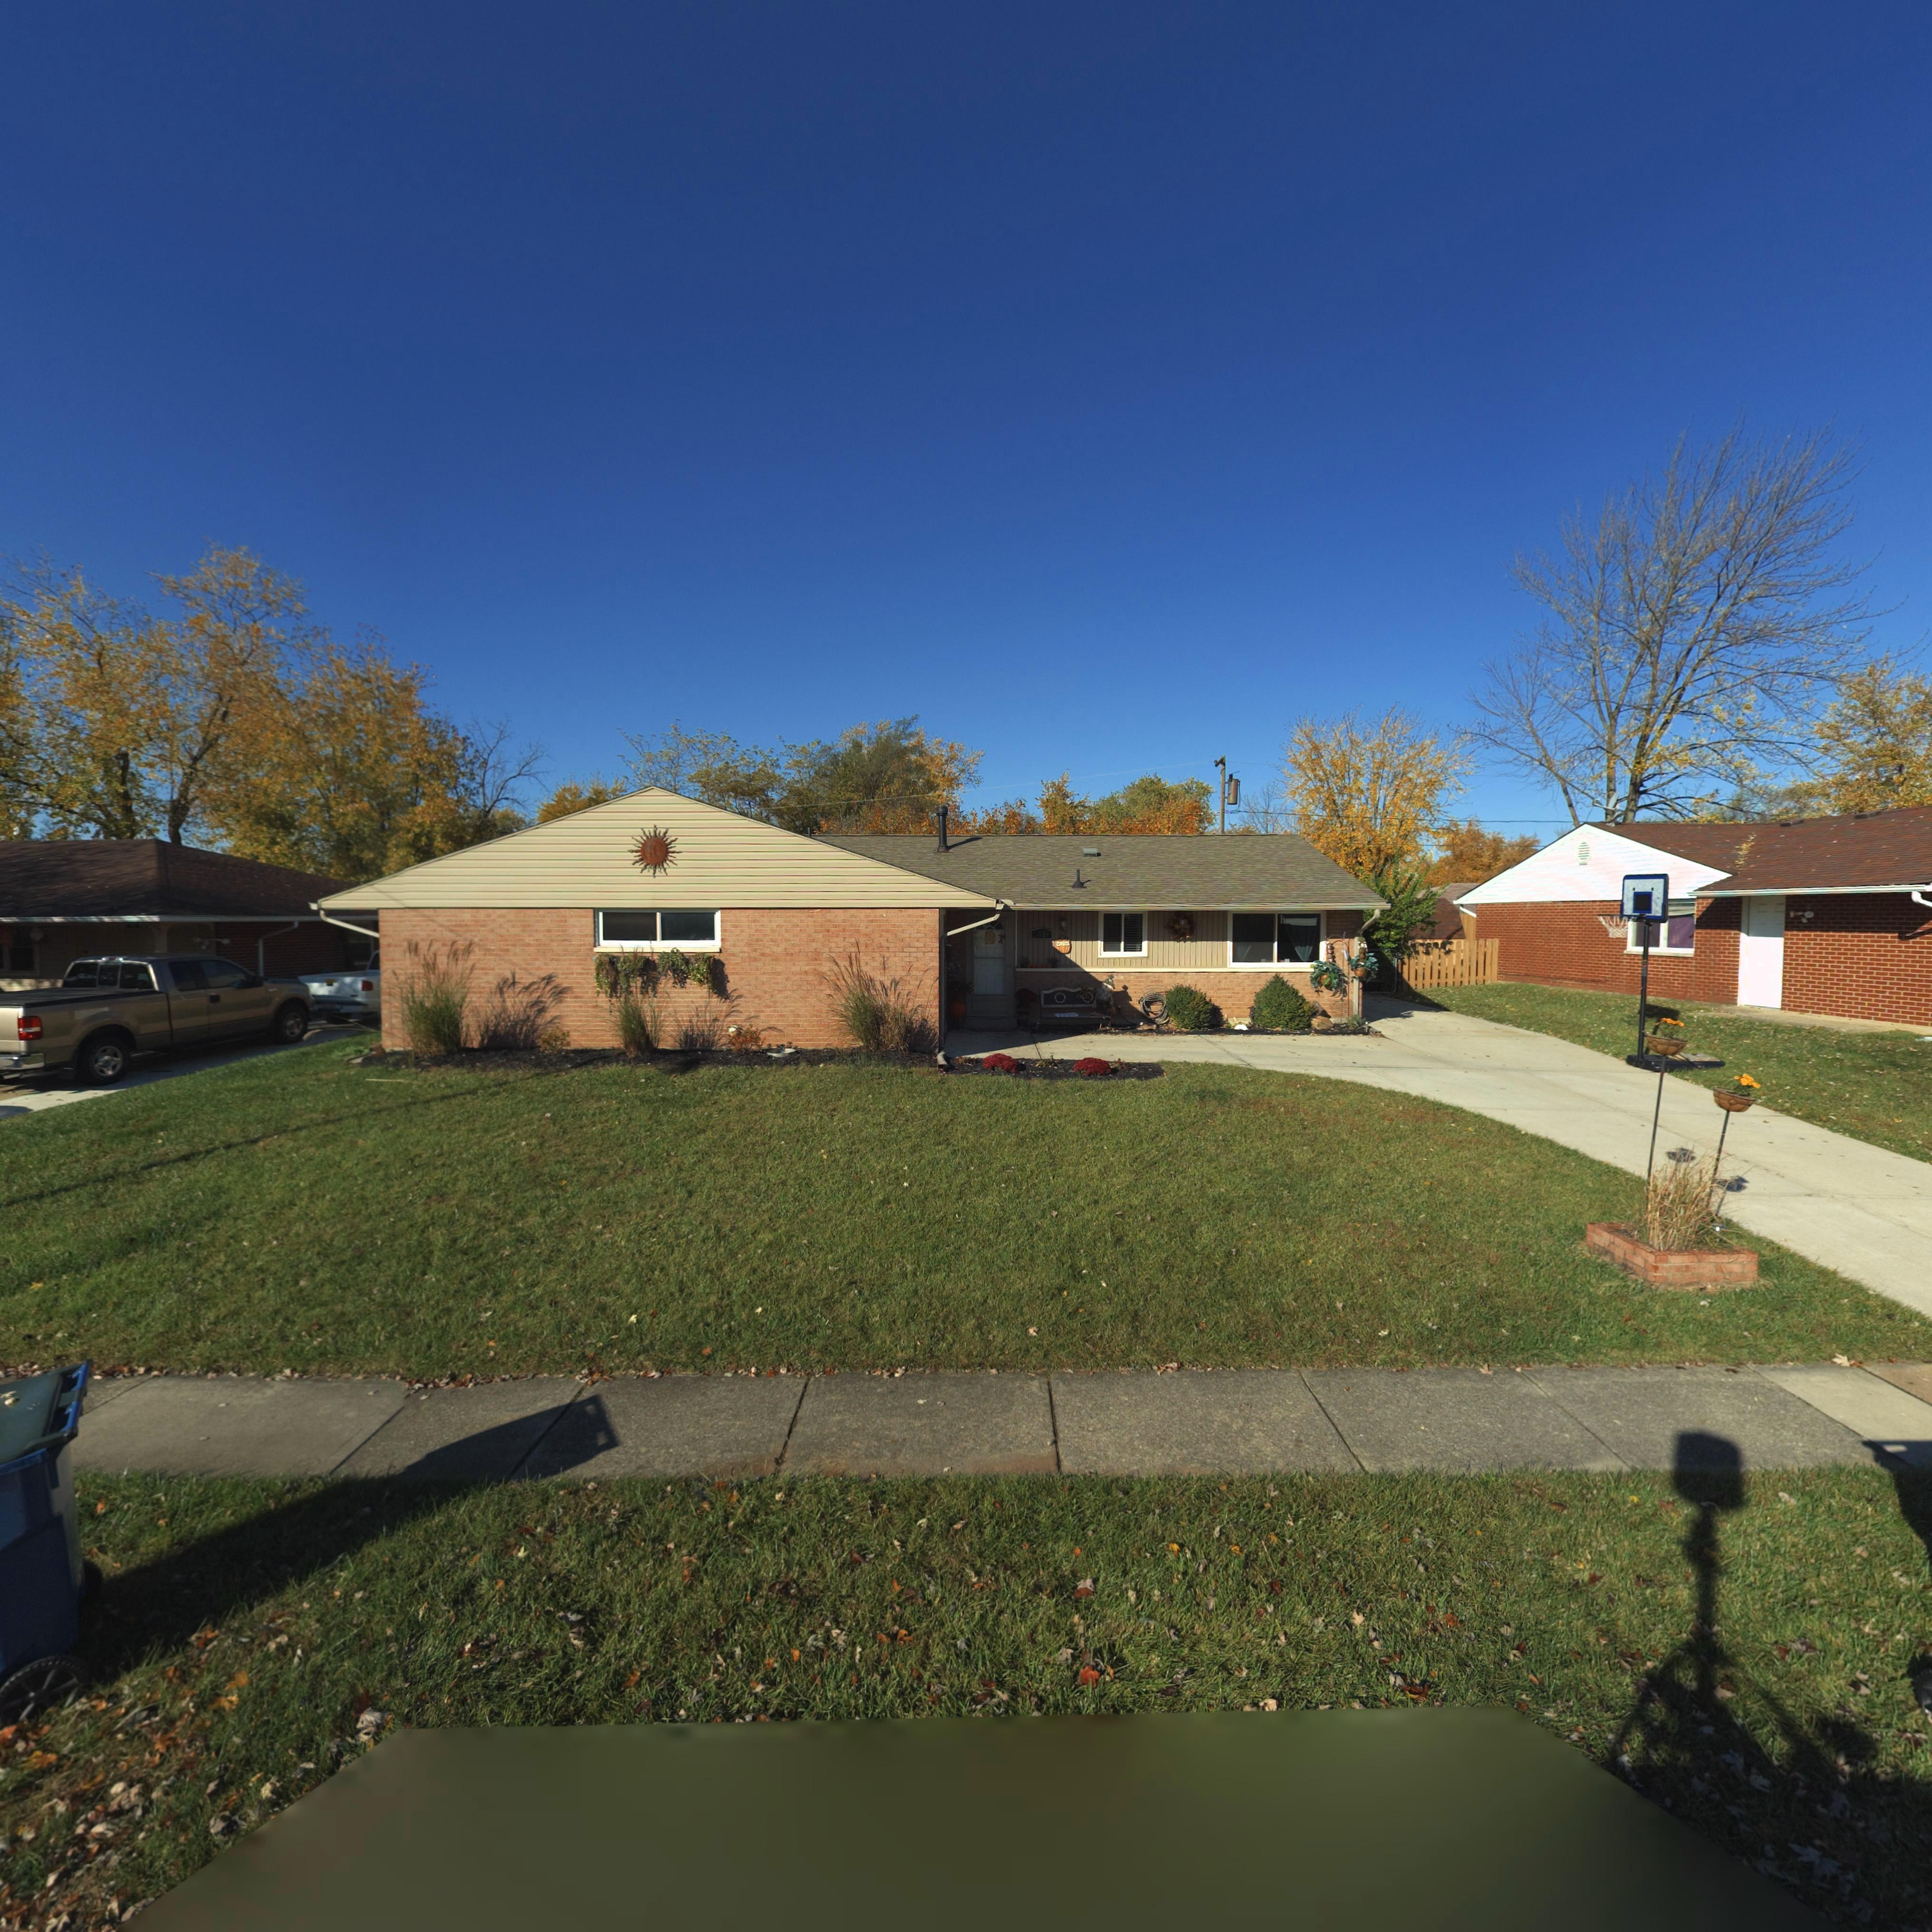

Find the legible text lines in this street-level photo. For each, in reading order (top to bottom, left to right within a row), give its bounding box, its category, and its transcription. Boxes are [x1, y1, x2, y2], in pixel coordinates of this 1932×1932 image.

[1033, 930, 1050, 939] StreetNumber: *819